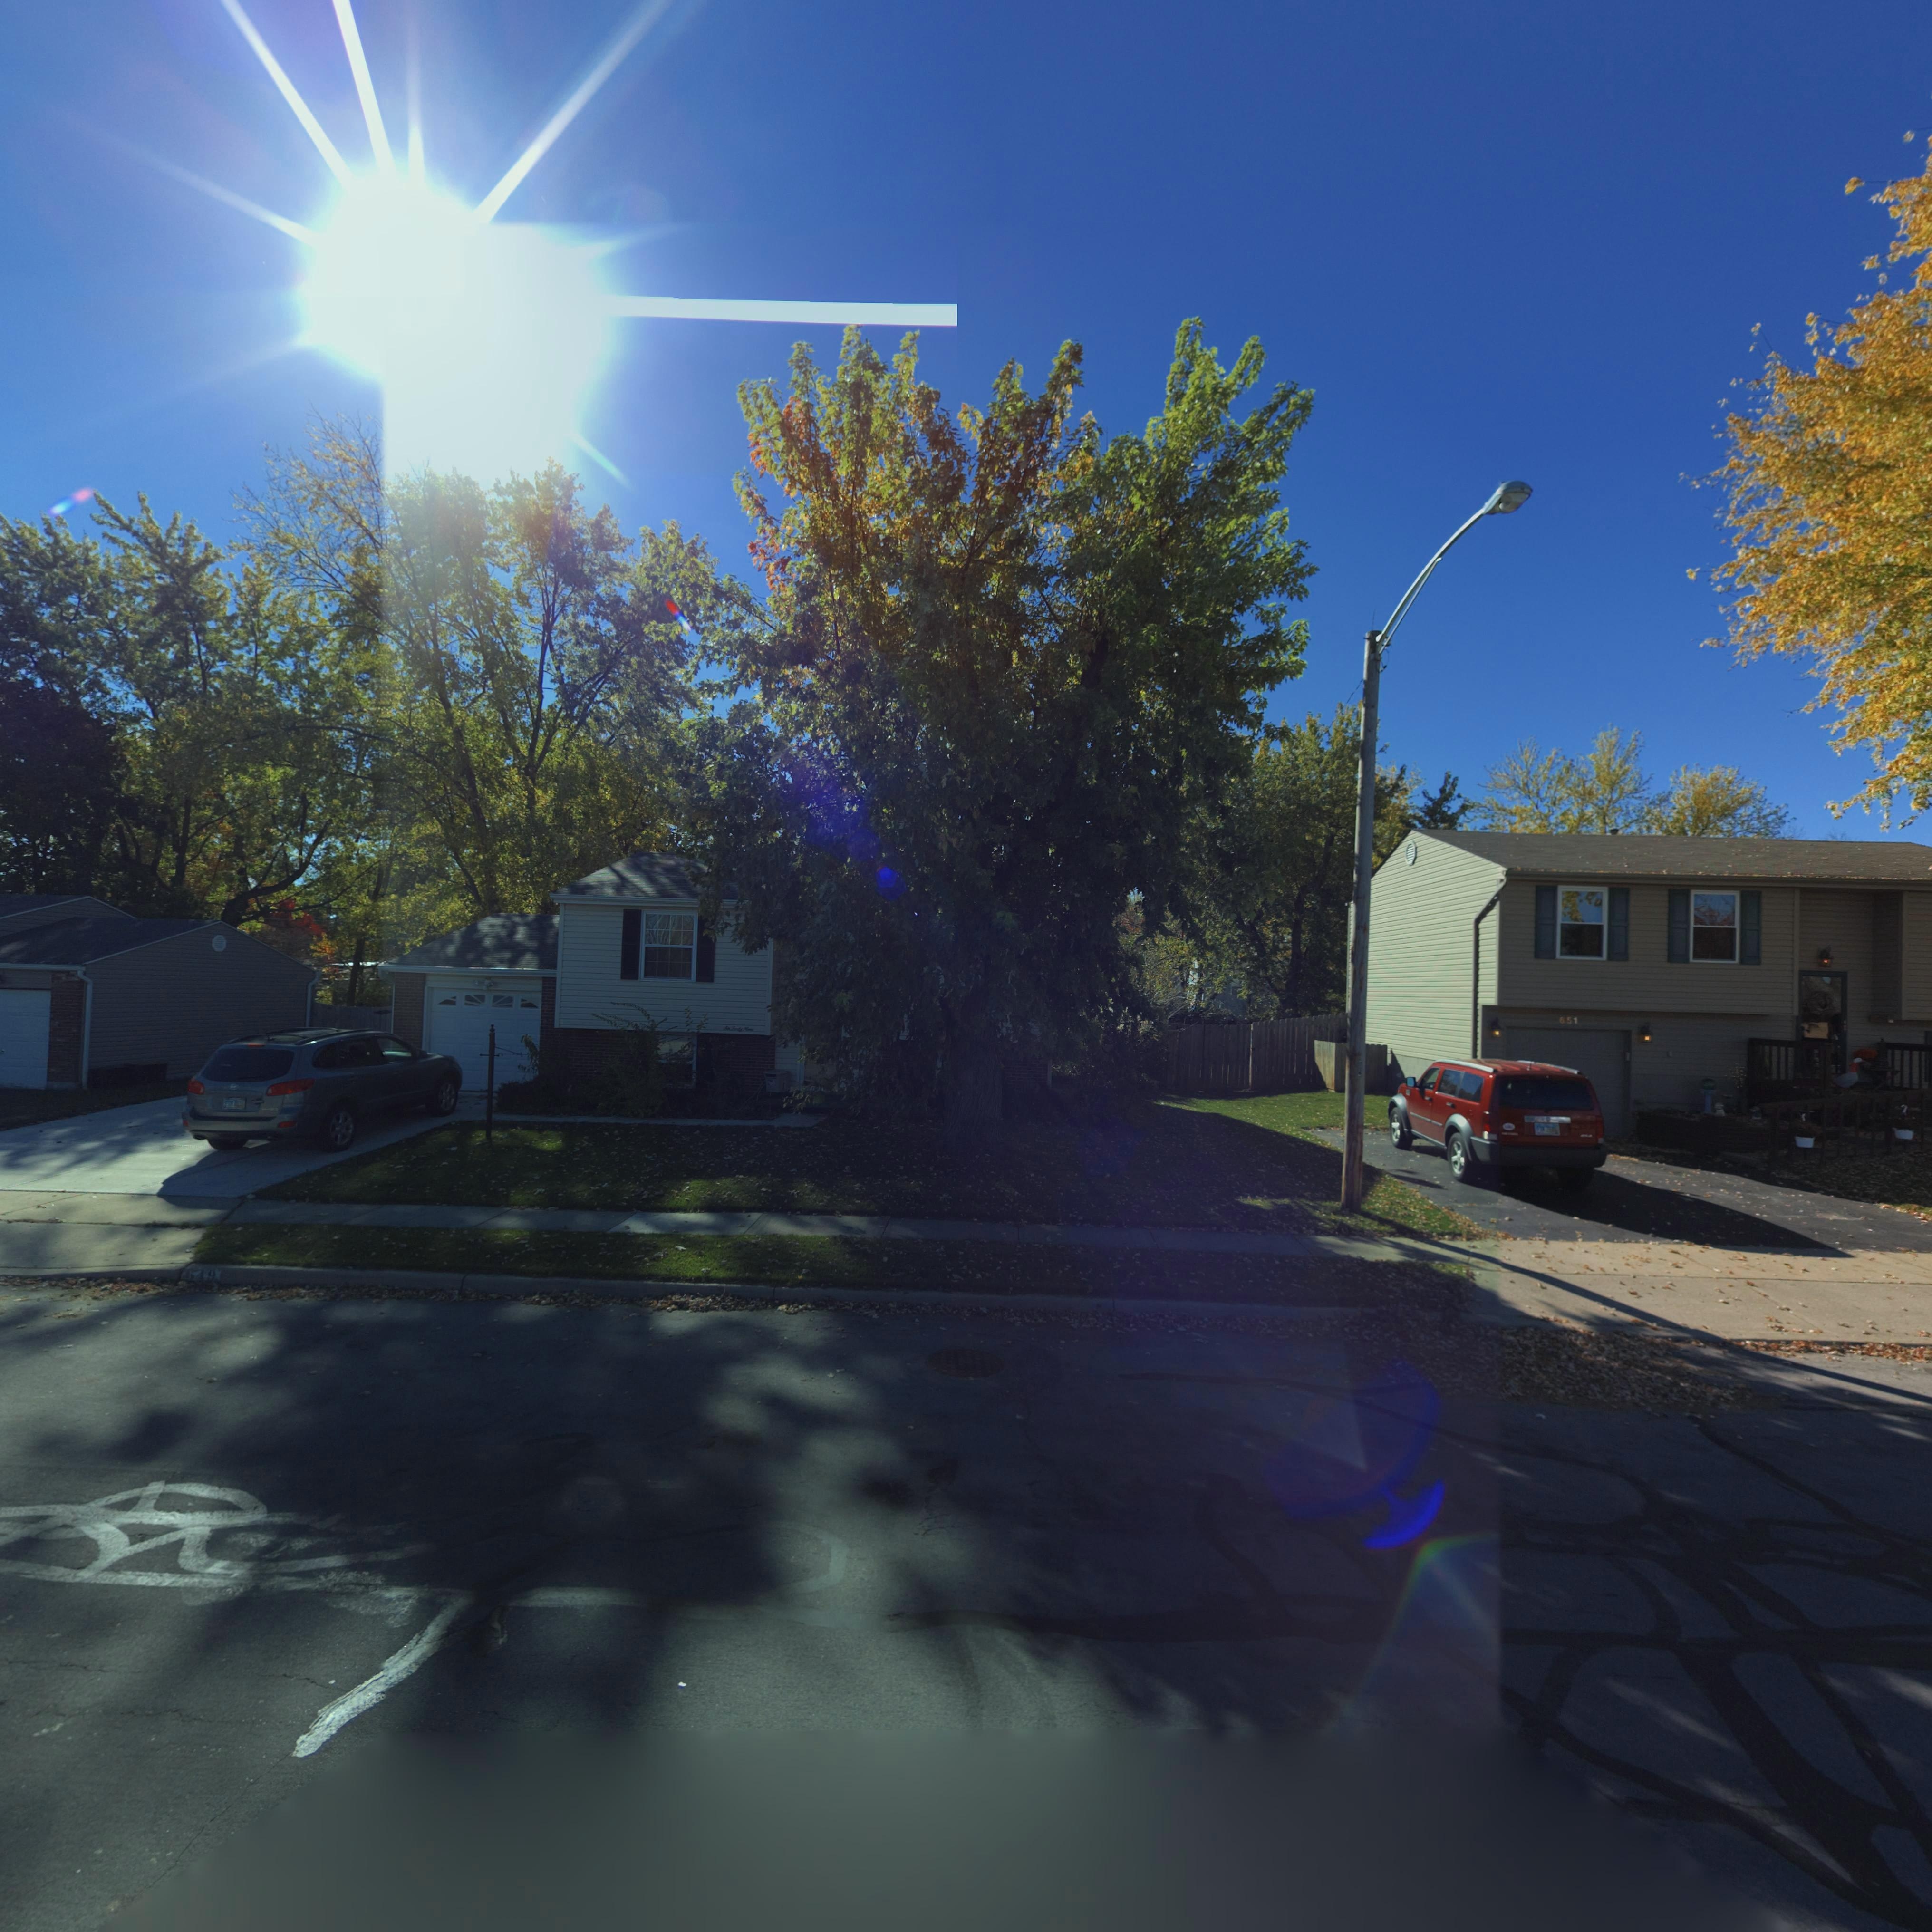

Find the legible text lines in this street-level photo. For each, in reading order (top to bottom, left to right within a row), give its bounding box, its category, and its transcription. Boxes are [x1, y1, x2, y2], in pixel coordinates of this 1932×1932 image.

[1559, 1016, 1578, 1024] StreetNumber: 651
[721, 1025, 754, 1033] StreetNumber: Six Forty Nine
[185, 1268, 217, 1284] StreetNumber: 649